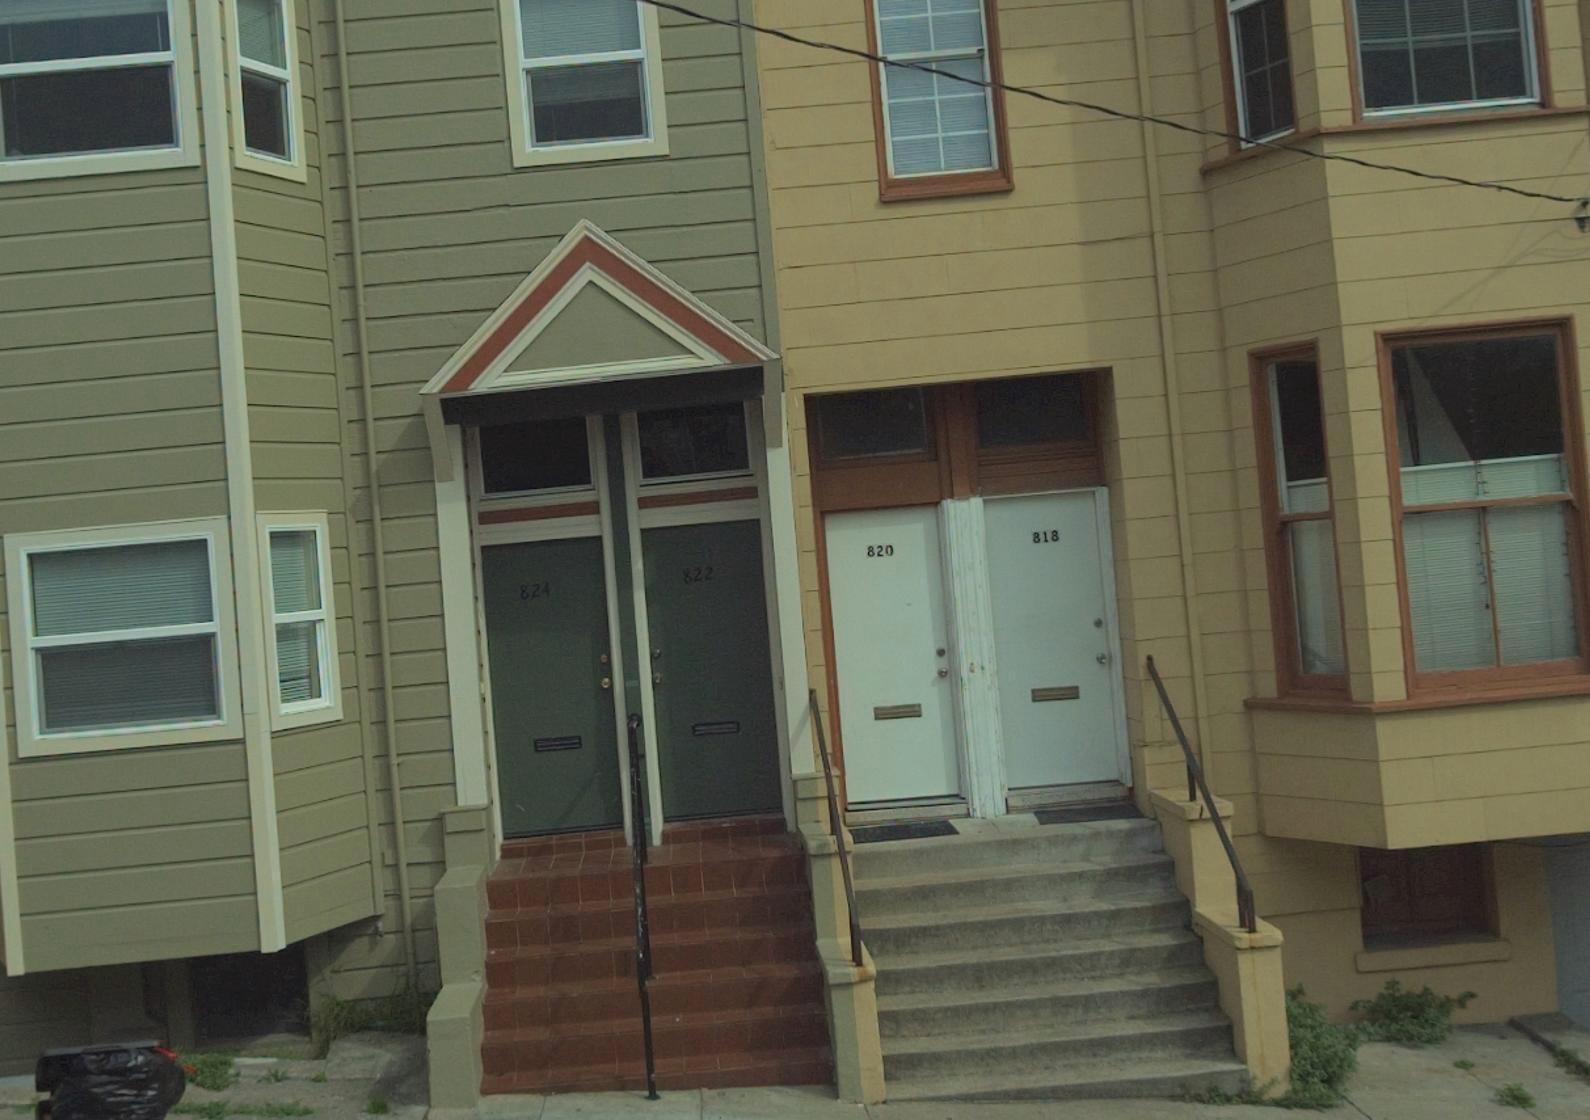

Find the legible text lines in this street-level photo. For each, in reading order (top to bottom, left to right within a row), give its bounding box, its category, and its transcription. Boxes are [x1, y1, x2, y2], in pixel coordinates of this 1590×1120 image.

[1031, 528, 1061, 545] StreetNumber: 818
[865, 543, 896, 559] StreetNumber: 820
[681, 564, 716, 585] StreetNumber: 822
[518, 581, 552, 601] StreetNumber: 824